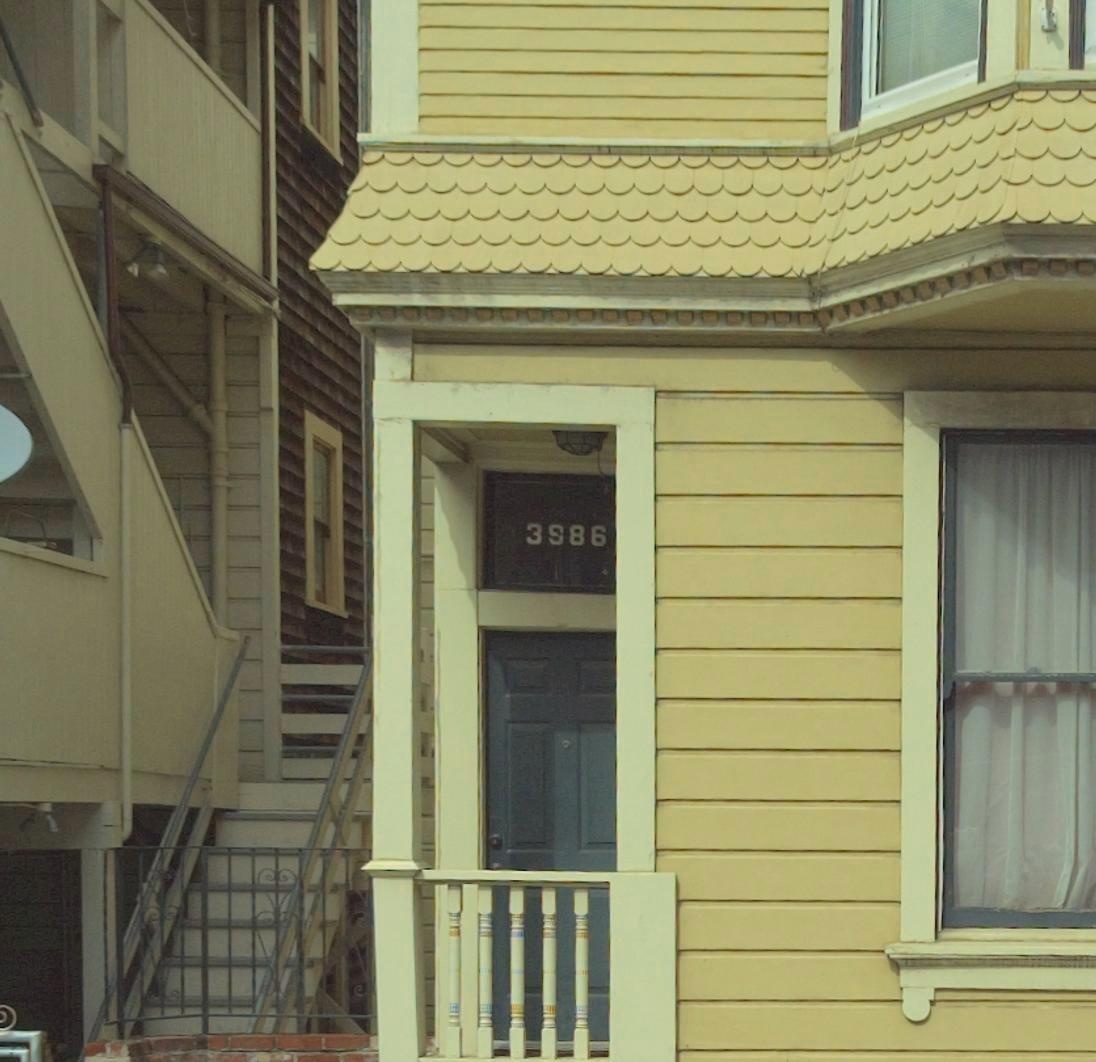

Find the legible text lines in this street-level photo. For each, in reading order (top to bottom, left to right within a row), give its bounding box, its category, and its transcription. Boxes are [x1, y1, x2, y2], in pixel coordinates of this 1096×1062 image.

[525, 522, 607, 547] StreetNumber: 3986